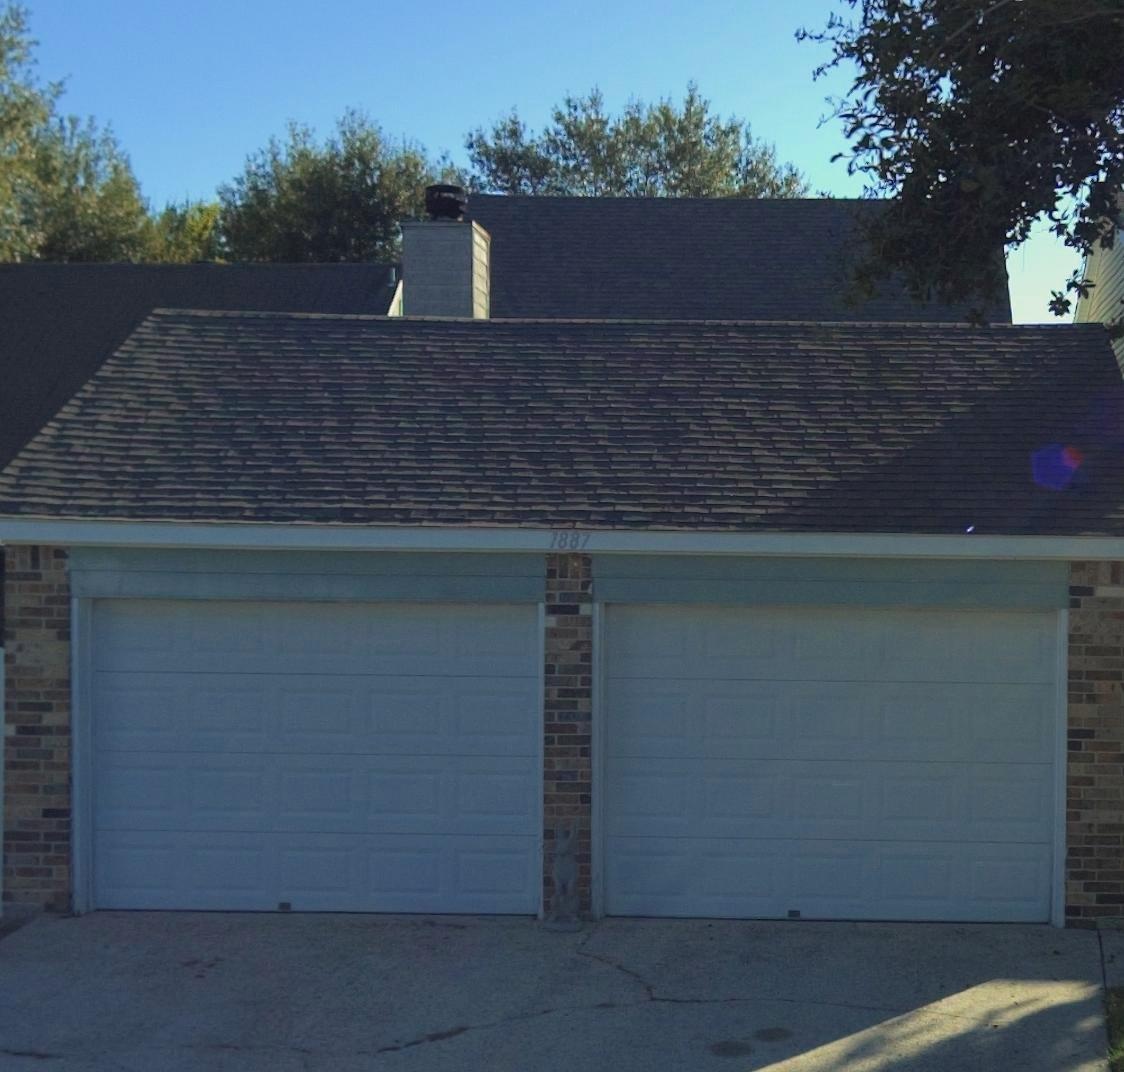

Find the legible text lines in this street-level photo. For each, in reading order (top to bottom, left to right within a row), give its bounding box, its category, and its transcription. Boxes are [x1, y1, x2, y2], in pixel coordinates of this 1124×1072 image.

[546, 529, 594, 551] StreetNumber: 1887